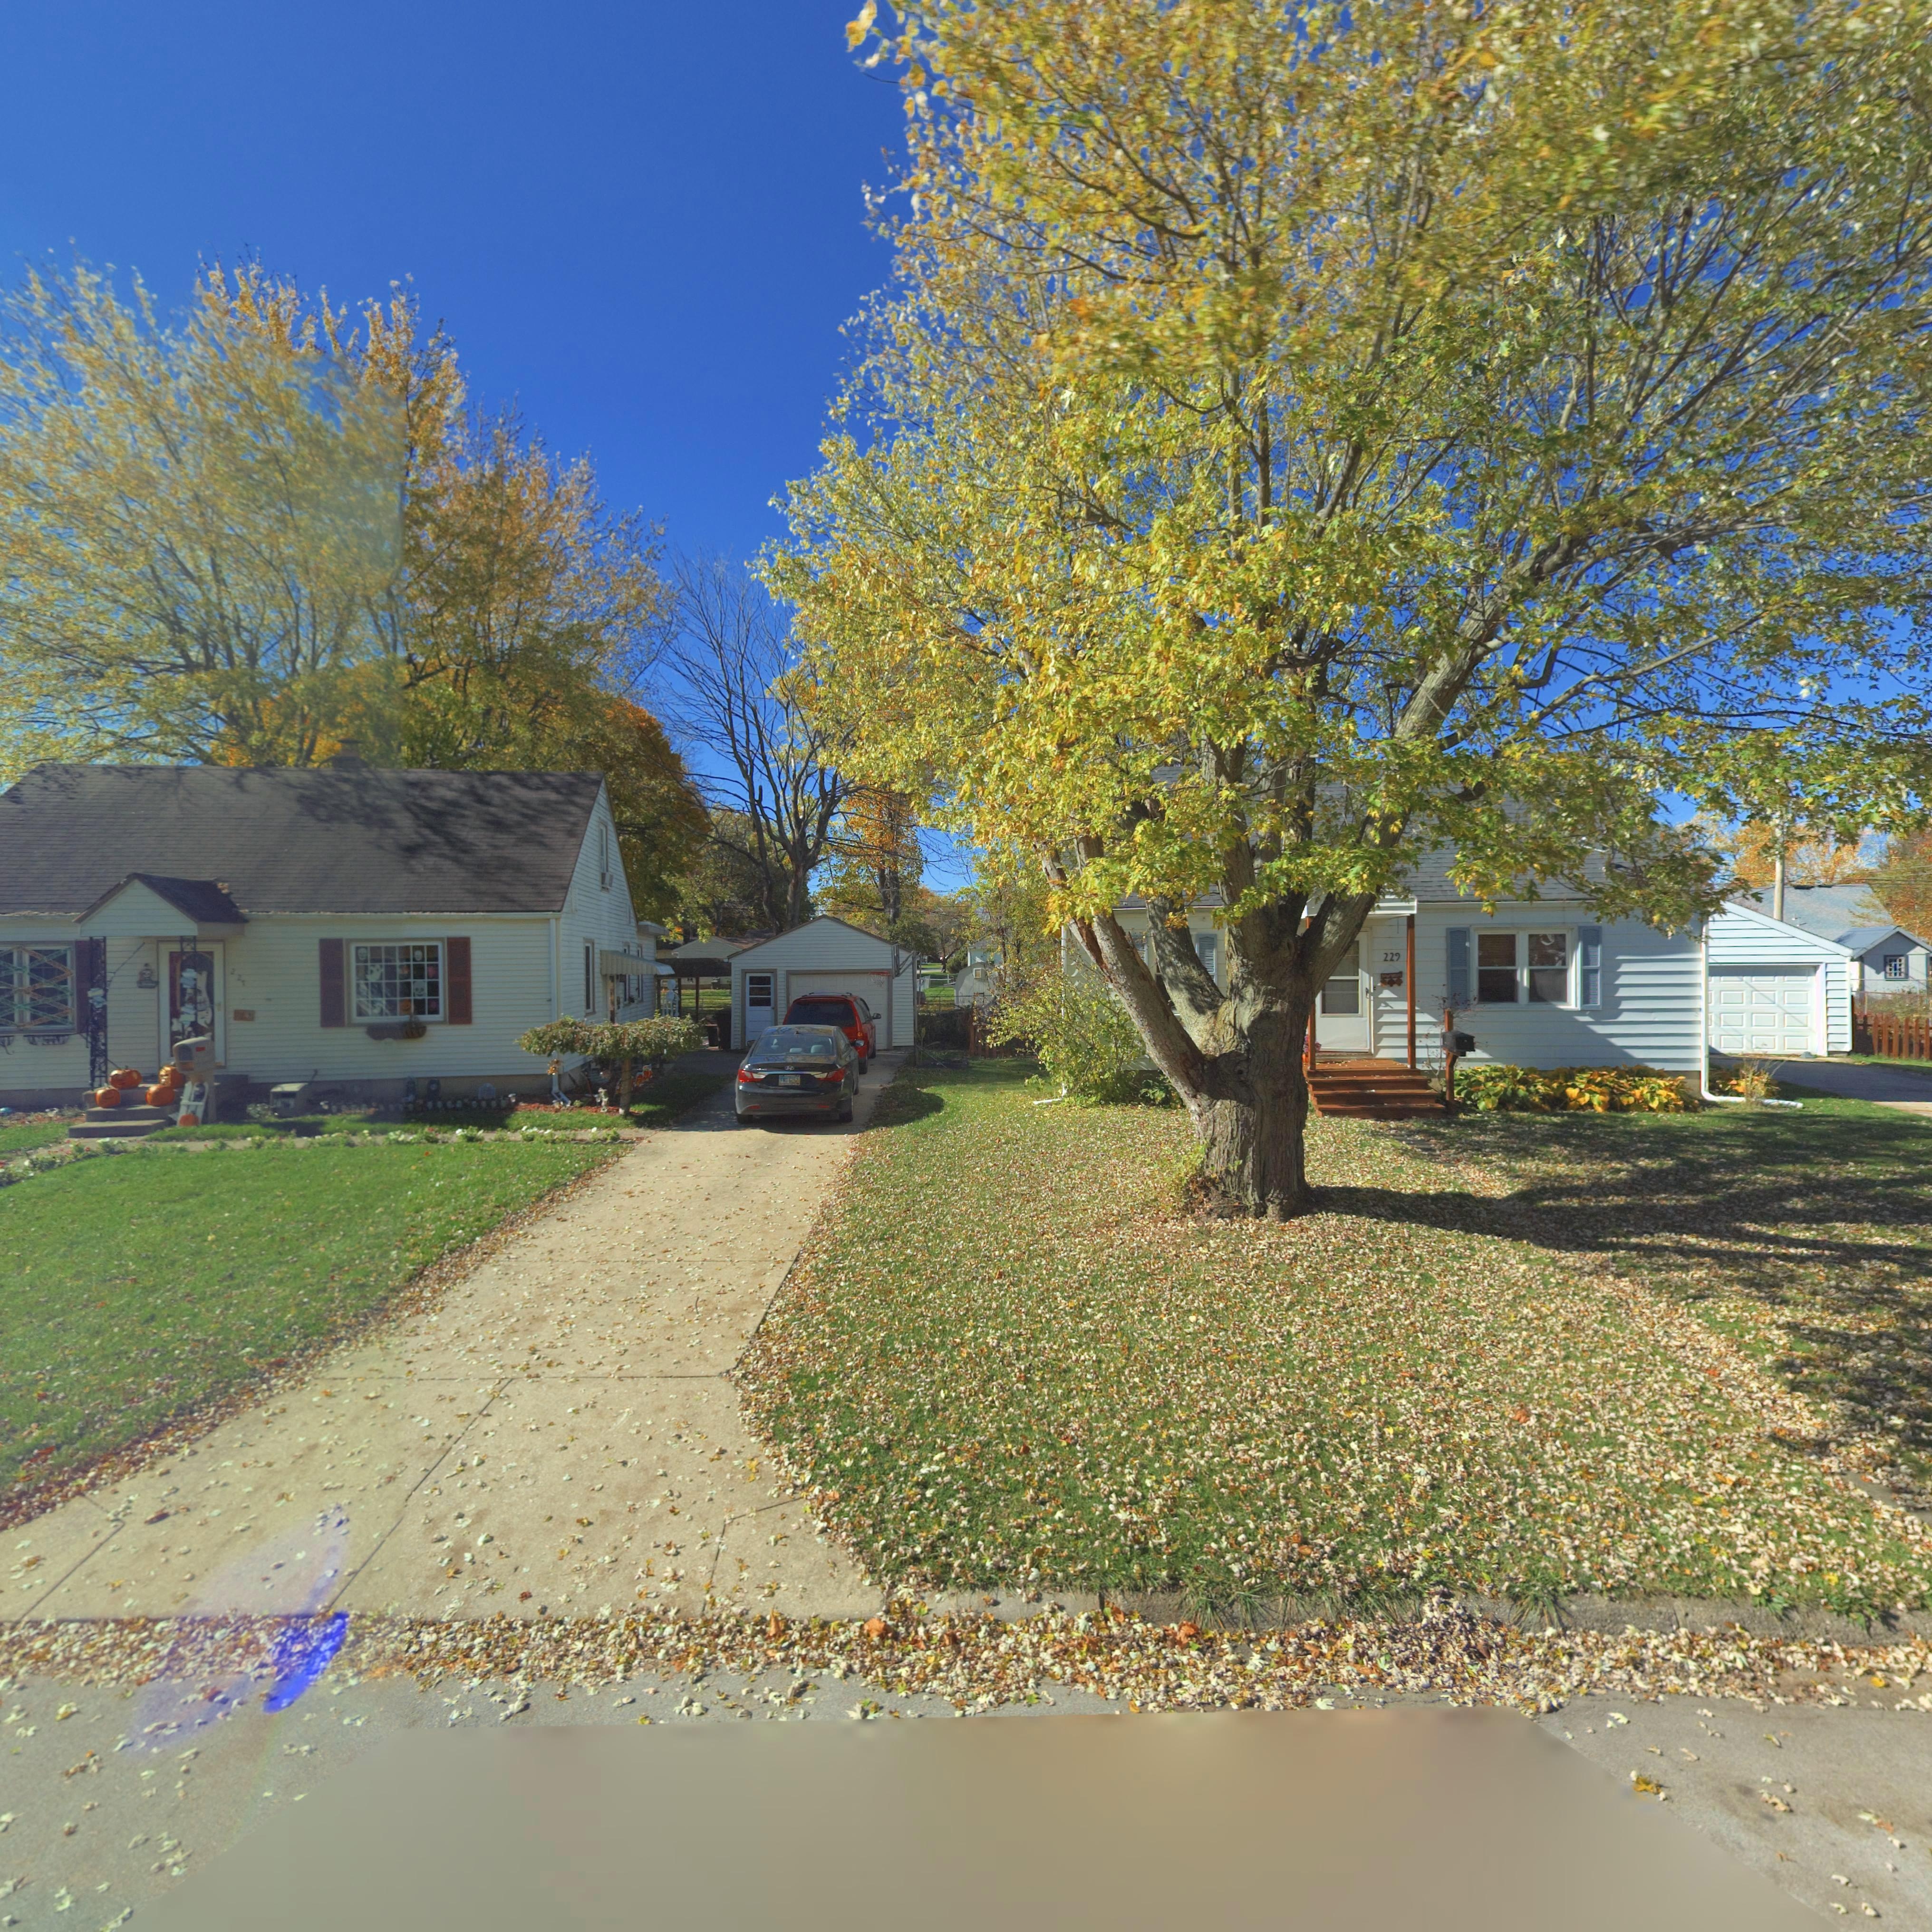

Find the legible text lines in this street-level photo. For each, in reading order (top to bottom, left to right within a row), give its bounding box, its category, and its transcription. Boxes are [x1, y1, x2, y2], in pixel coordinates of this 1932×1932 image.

[1383, 951, 1401, 963] StreetNumber: 229
[229, 967, 248, 987] StreetNumber: 2**